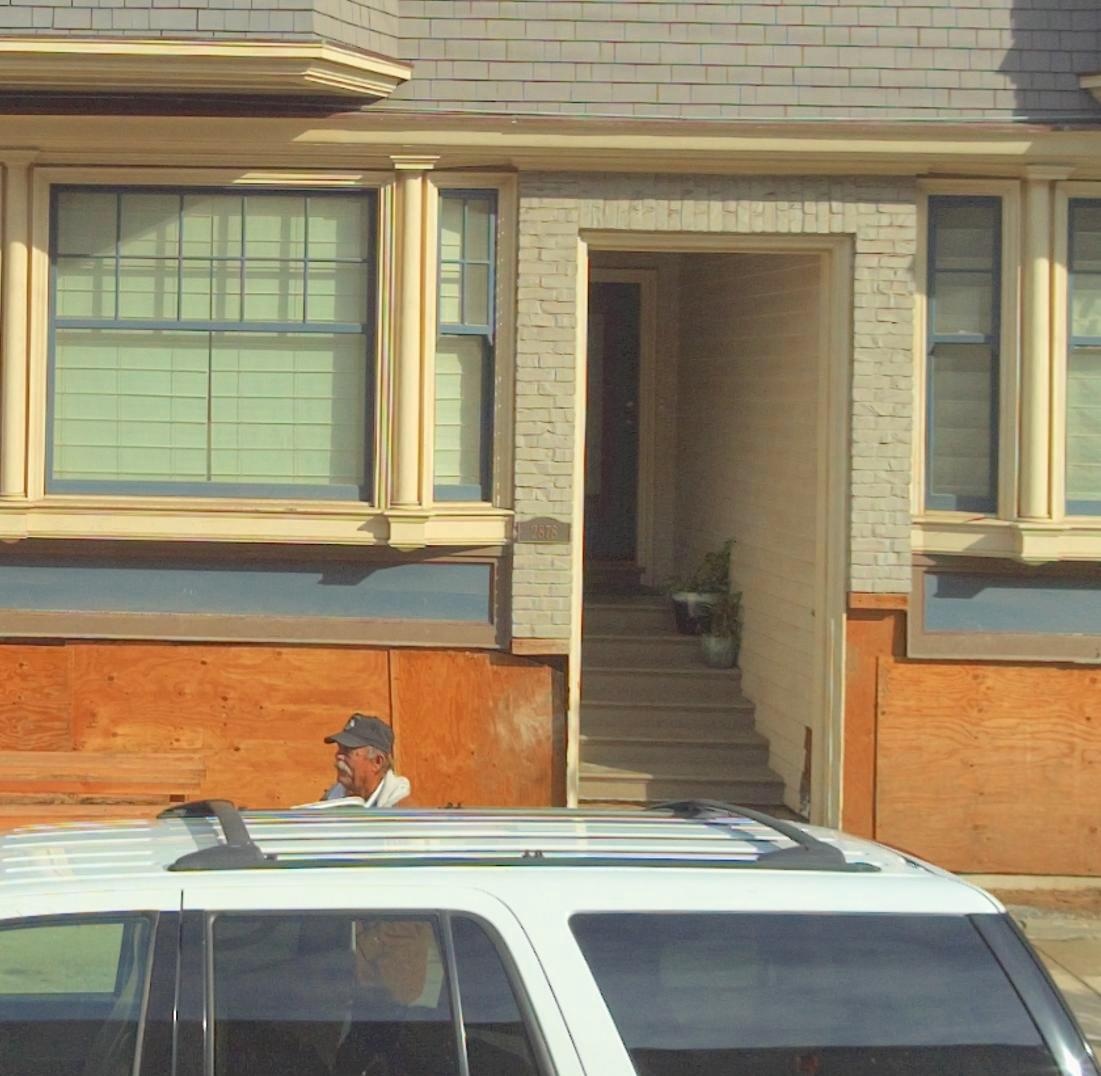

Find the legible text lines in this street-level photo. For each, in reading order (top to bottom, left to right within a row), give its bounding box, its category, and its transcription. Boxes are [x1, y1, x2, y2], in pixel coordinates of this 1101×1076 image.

[528, 522, 560, 542] StreetNumber: 2878